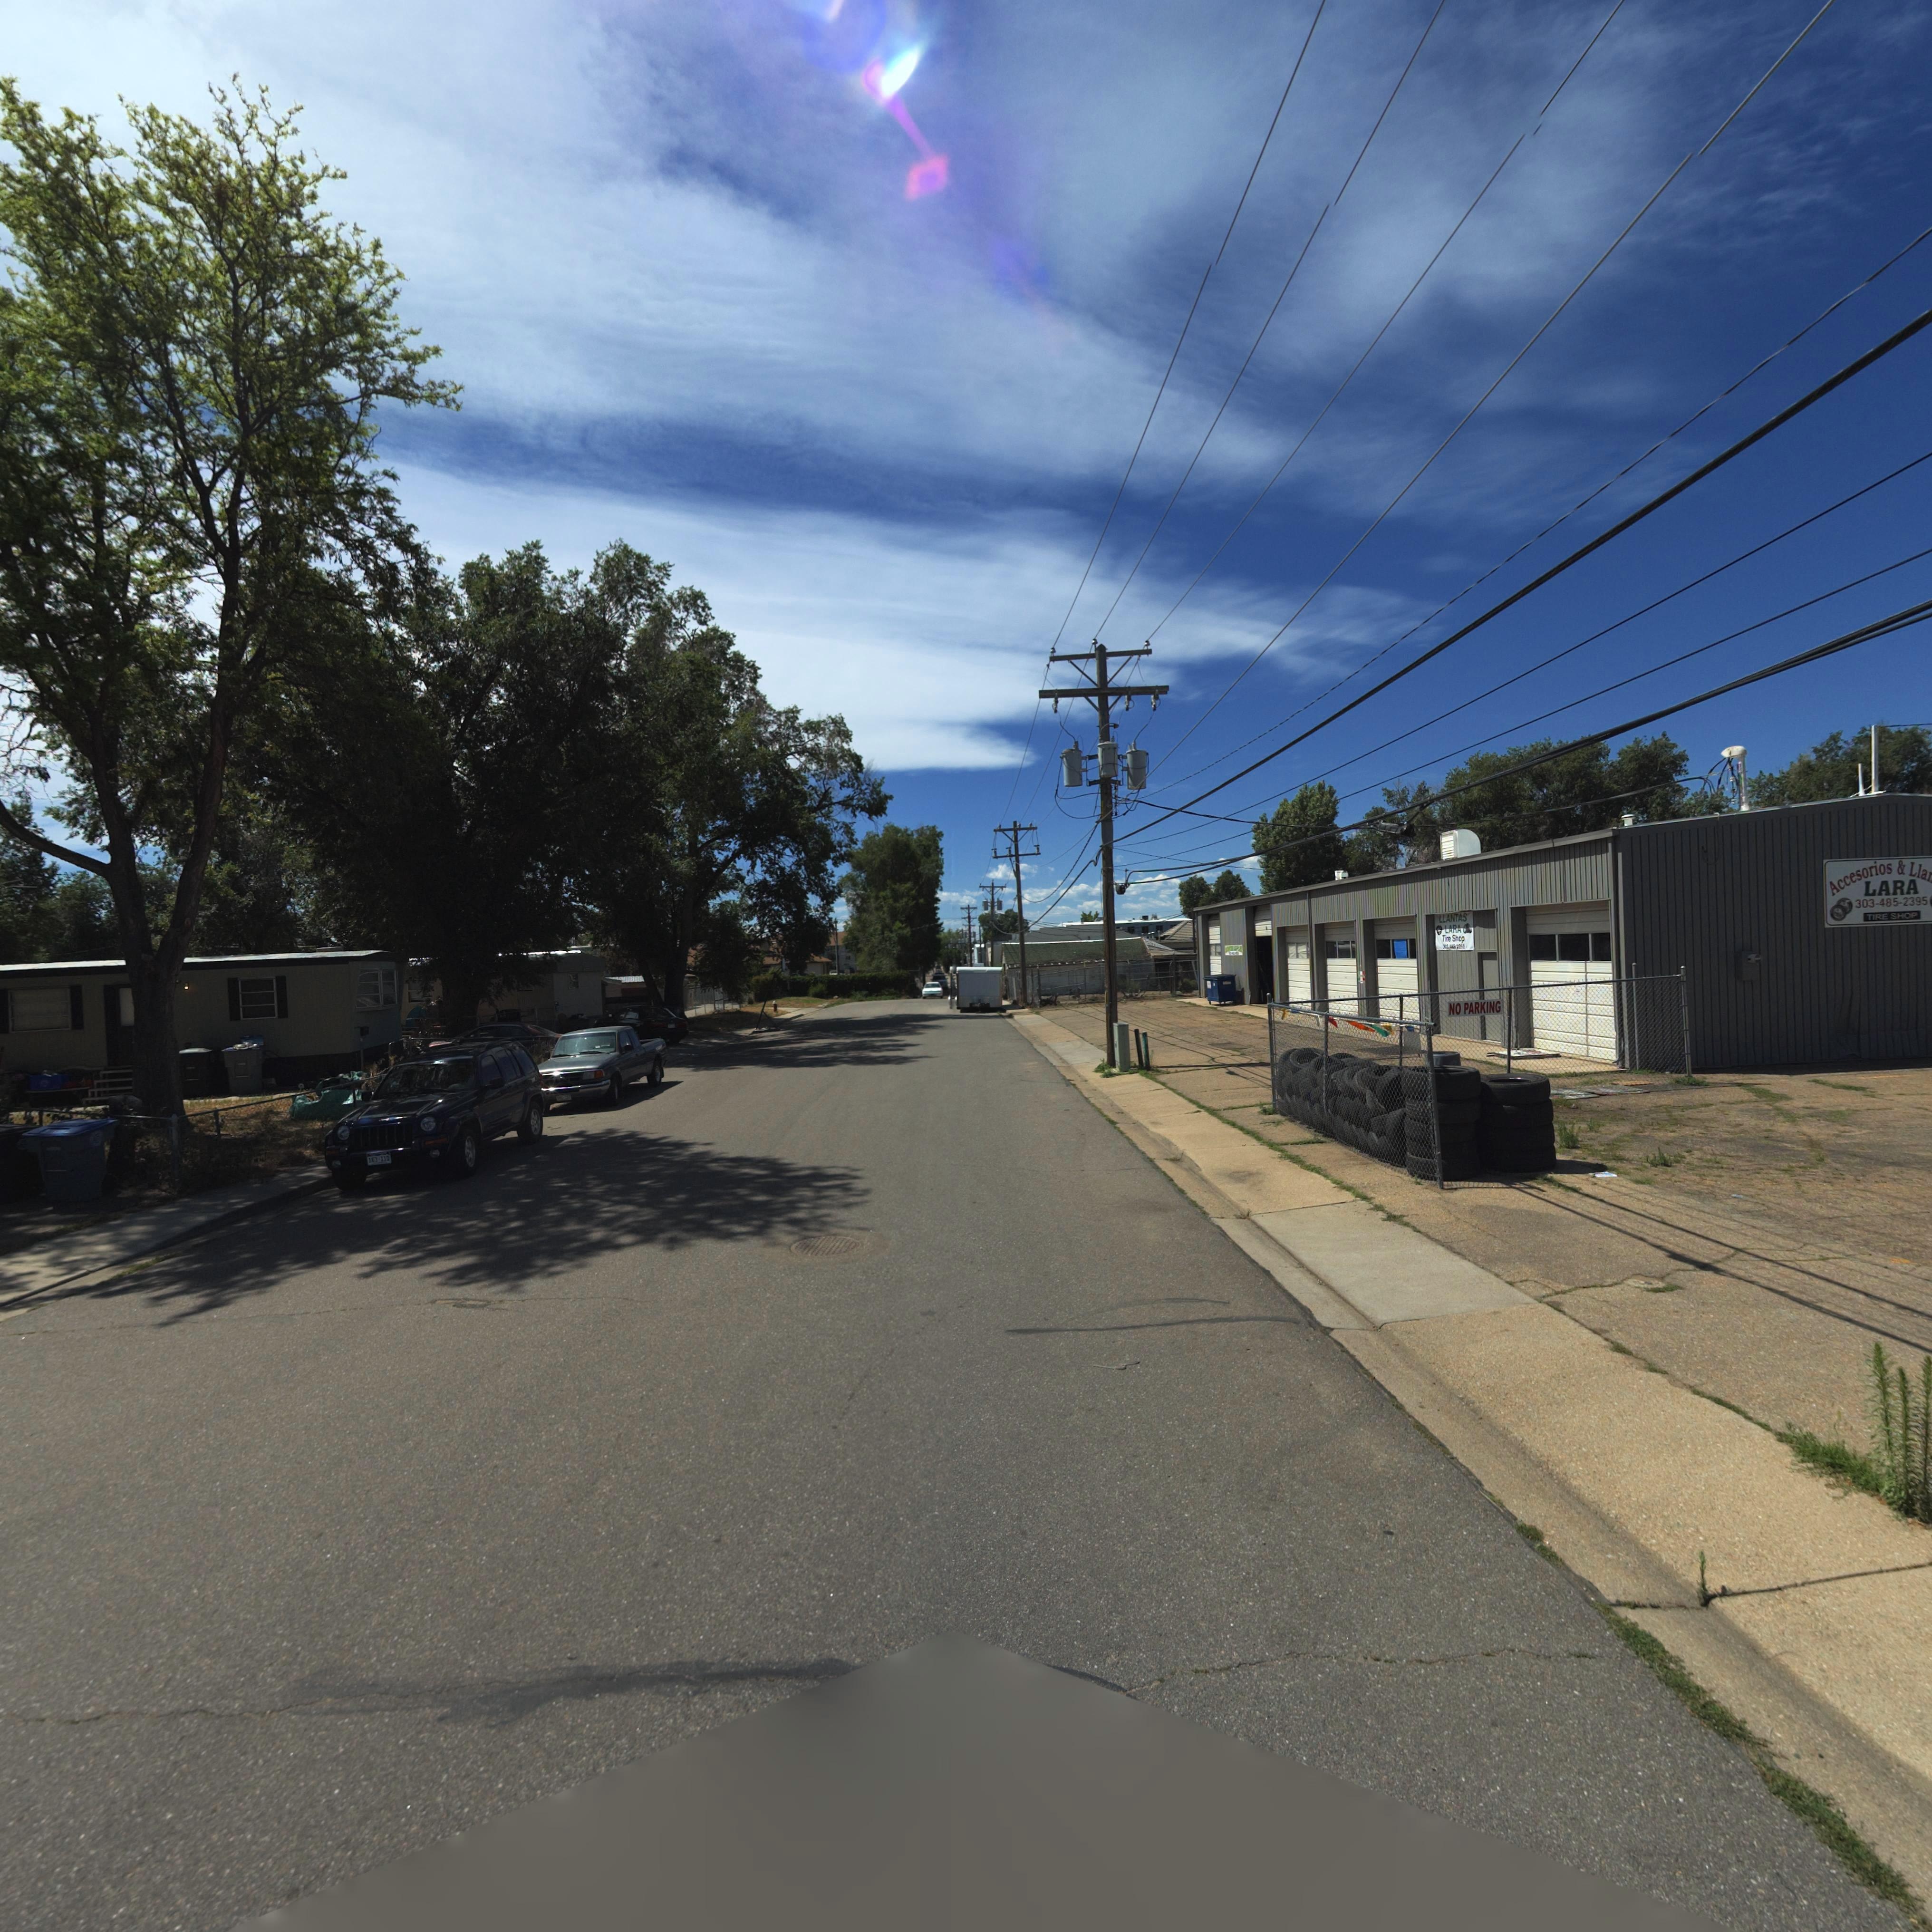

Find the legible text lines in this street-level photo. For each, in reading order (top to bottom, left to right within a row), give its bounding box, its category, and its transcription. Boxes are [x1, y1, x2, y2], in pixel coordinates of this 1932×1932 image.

[1828, 859, 1928, 898] BusinessName: Accesorios & Lla
[1863, 879, 1920, 897] BusinessName: LARA
[1439, 912, 1468, 923] BusinessName: LLANTAS
[1444, 924, 1462, 934] BusinessName: LARA
[1441, 934, 1465, 944] BusinessName: T*re Shop